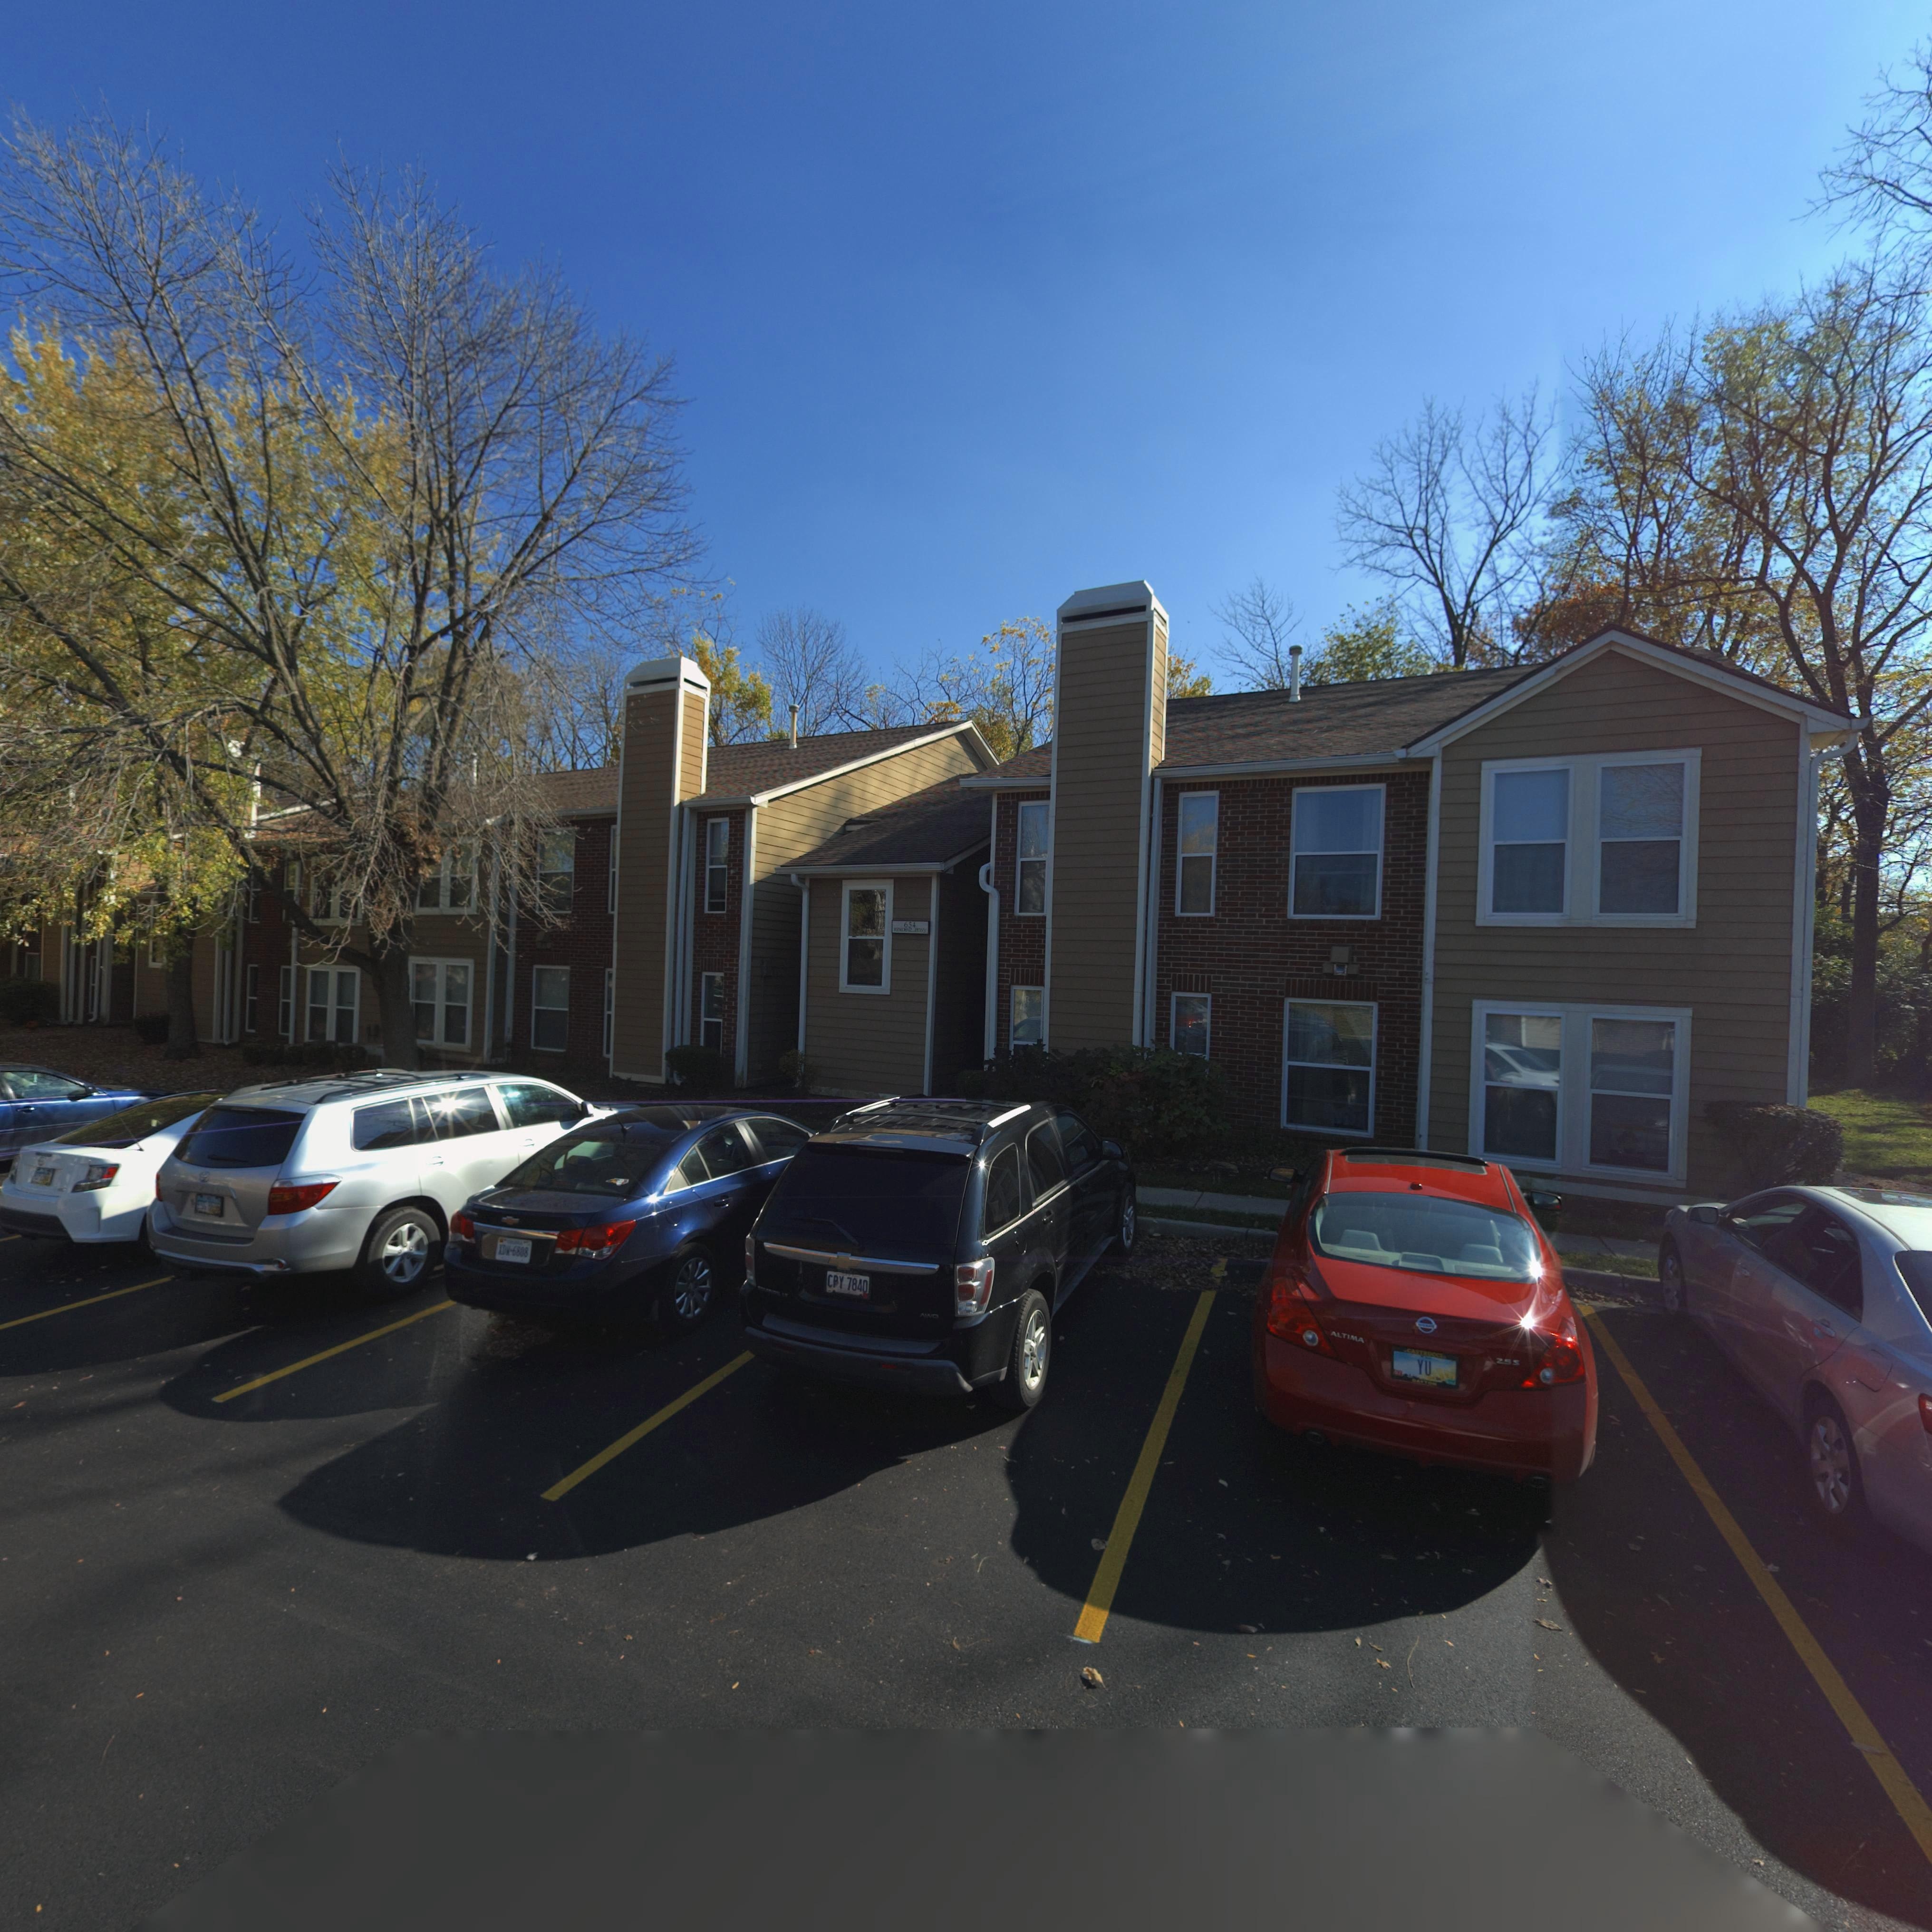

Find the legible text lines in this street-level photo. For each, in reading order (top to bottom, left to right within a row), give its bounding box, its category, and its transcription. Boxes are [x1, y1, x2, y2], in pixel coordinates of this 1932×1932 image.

[903, 921, 917, 929] StreetNumber: 654
[497, 1243, 530, 1258] None: XD*-6808
[826, 1274, 869, 1294] None: CPY 7840
[918, 1312, 940, 1319] None: AWD
[1328, 1330, 1365, 1344] None: ALTIMA
[1406, 1347, 1416, 1354] None: CA
[1416, 1358, 1432, 1377] None: YU
[1495, 1357, 1521, 1367] None: 255